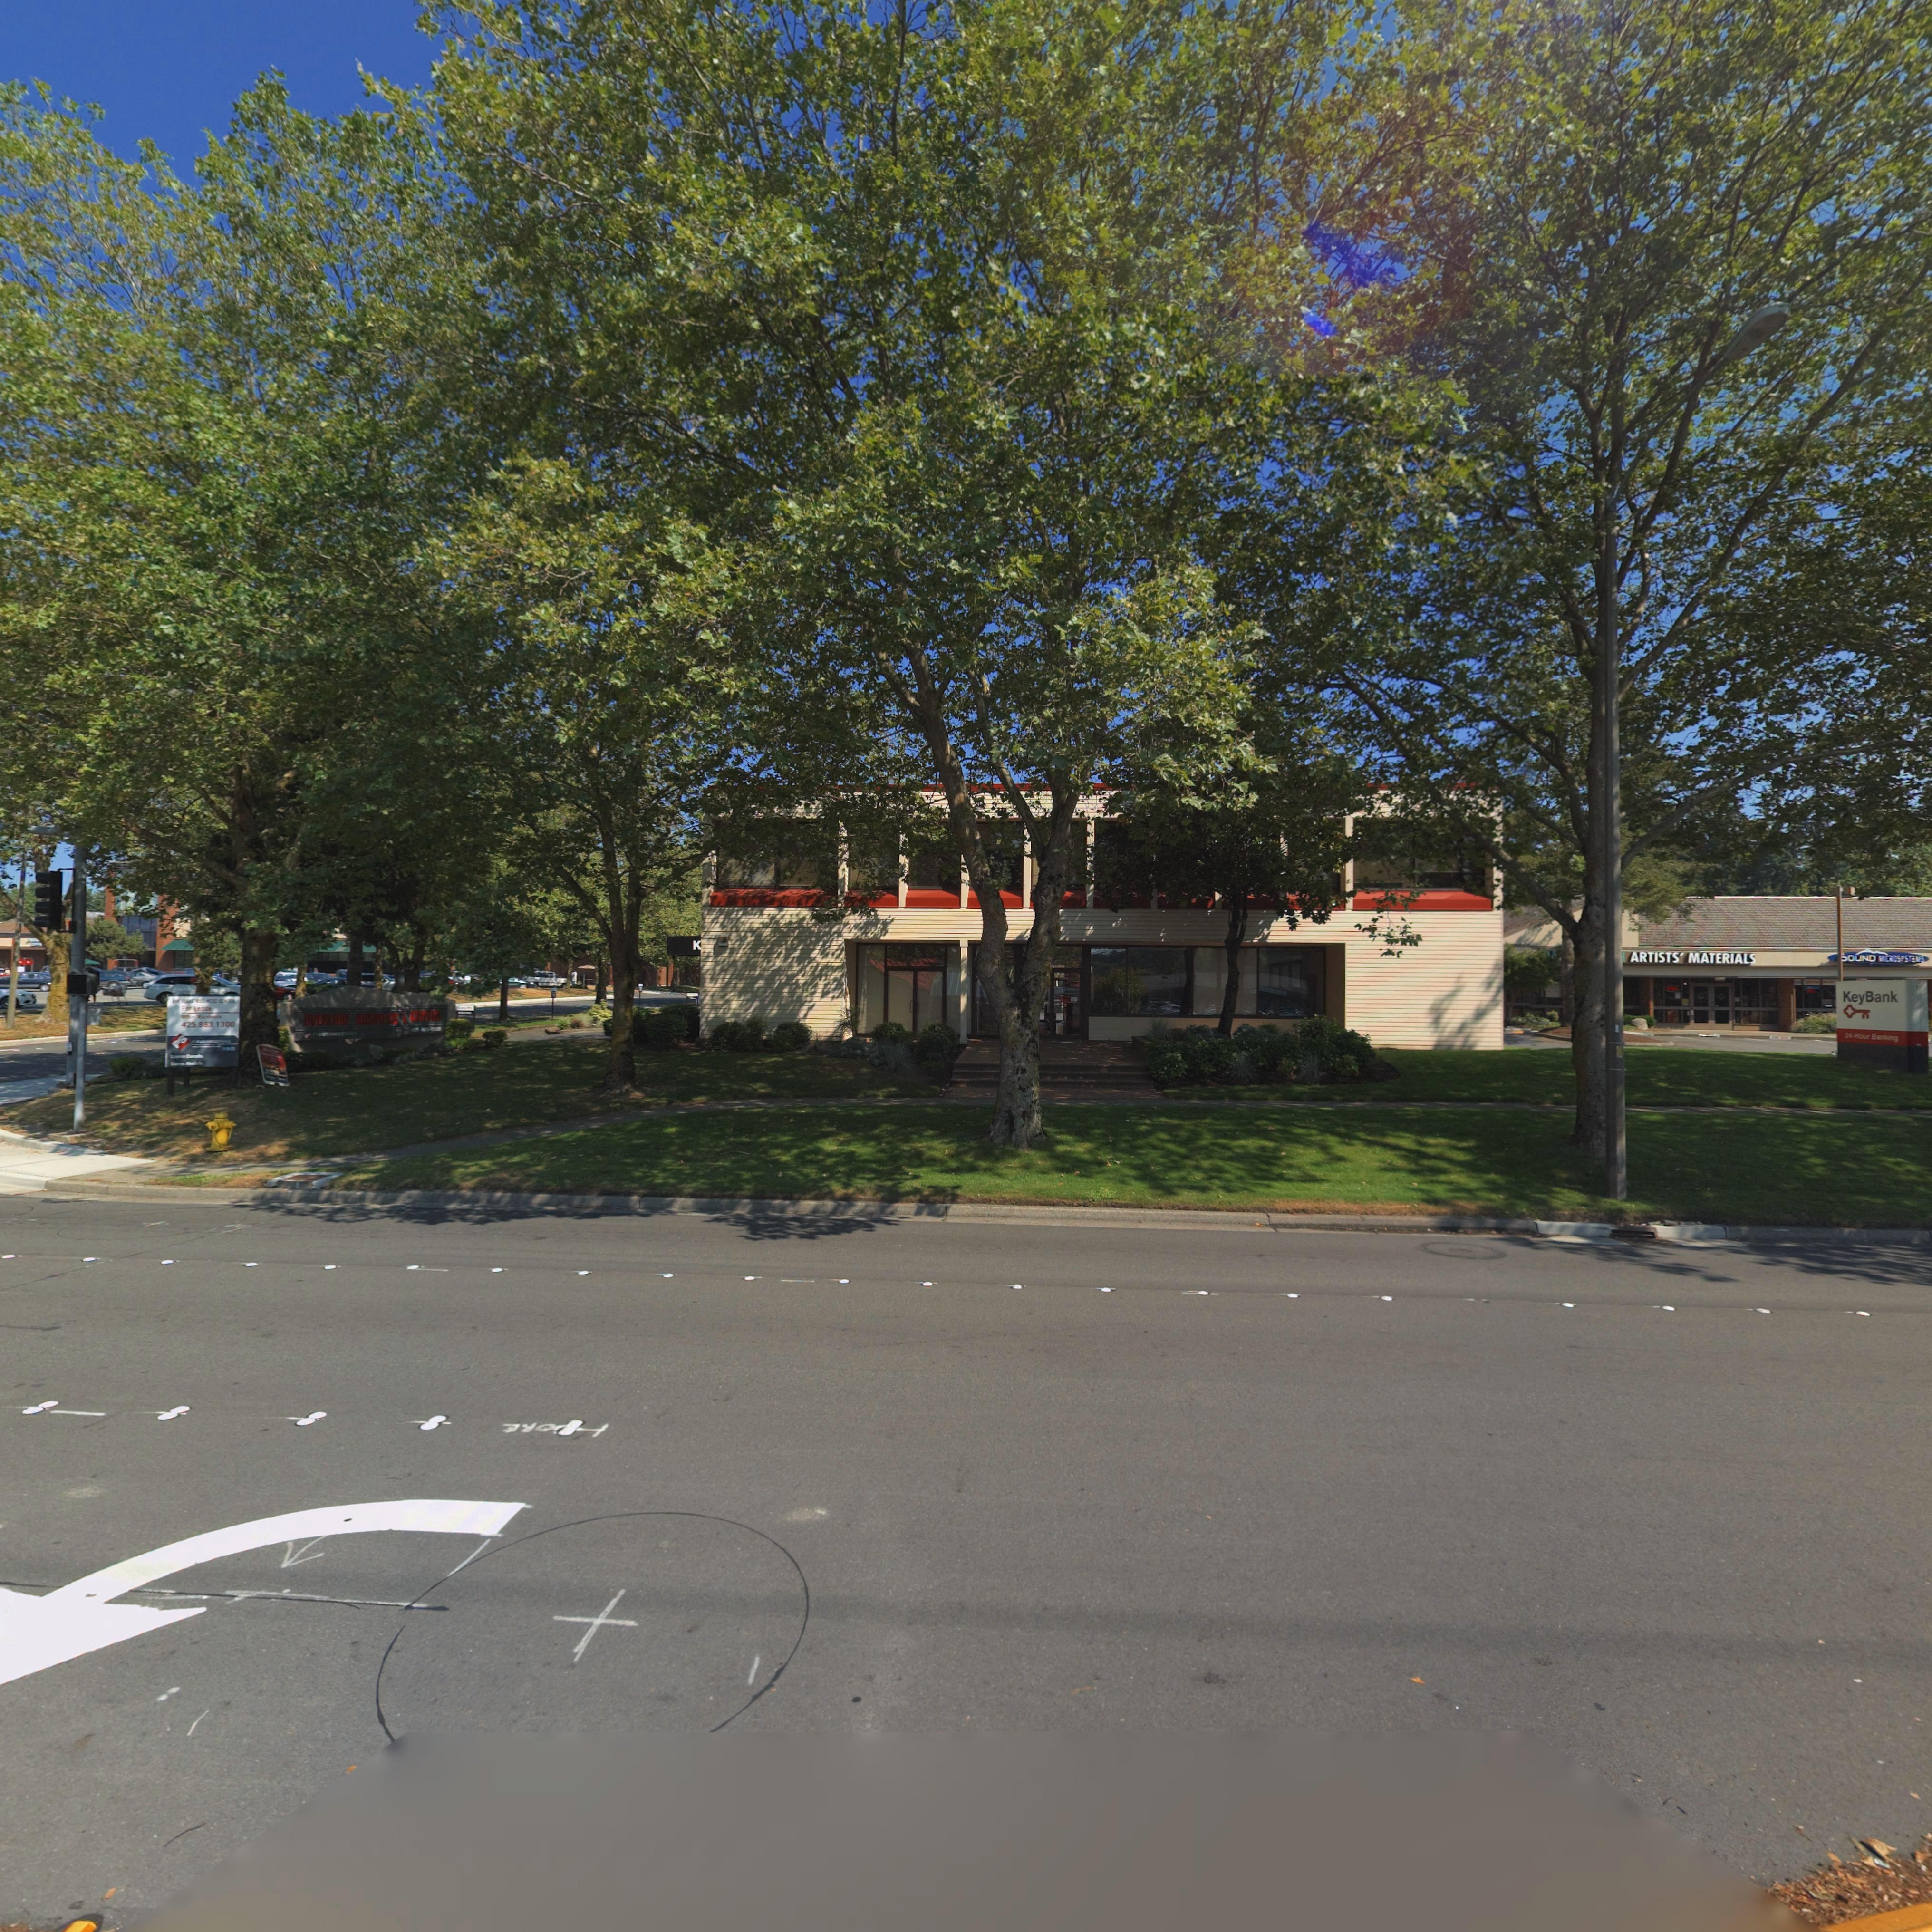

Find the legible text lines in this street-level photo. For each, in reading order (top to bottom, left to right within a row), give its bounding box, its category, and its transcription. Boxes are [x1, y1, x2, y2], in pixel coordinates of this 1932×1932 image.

[1631, 951, 1755, 963] BusinessName: ARTISTS TAATERIAIS
[1842, 988, 1900, 1005] BusinessName: KeyBank
[177, 1020, 235, 1028] PhoneNumber: 1683190